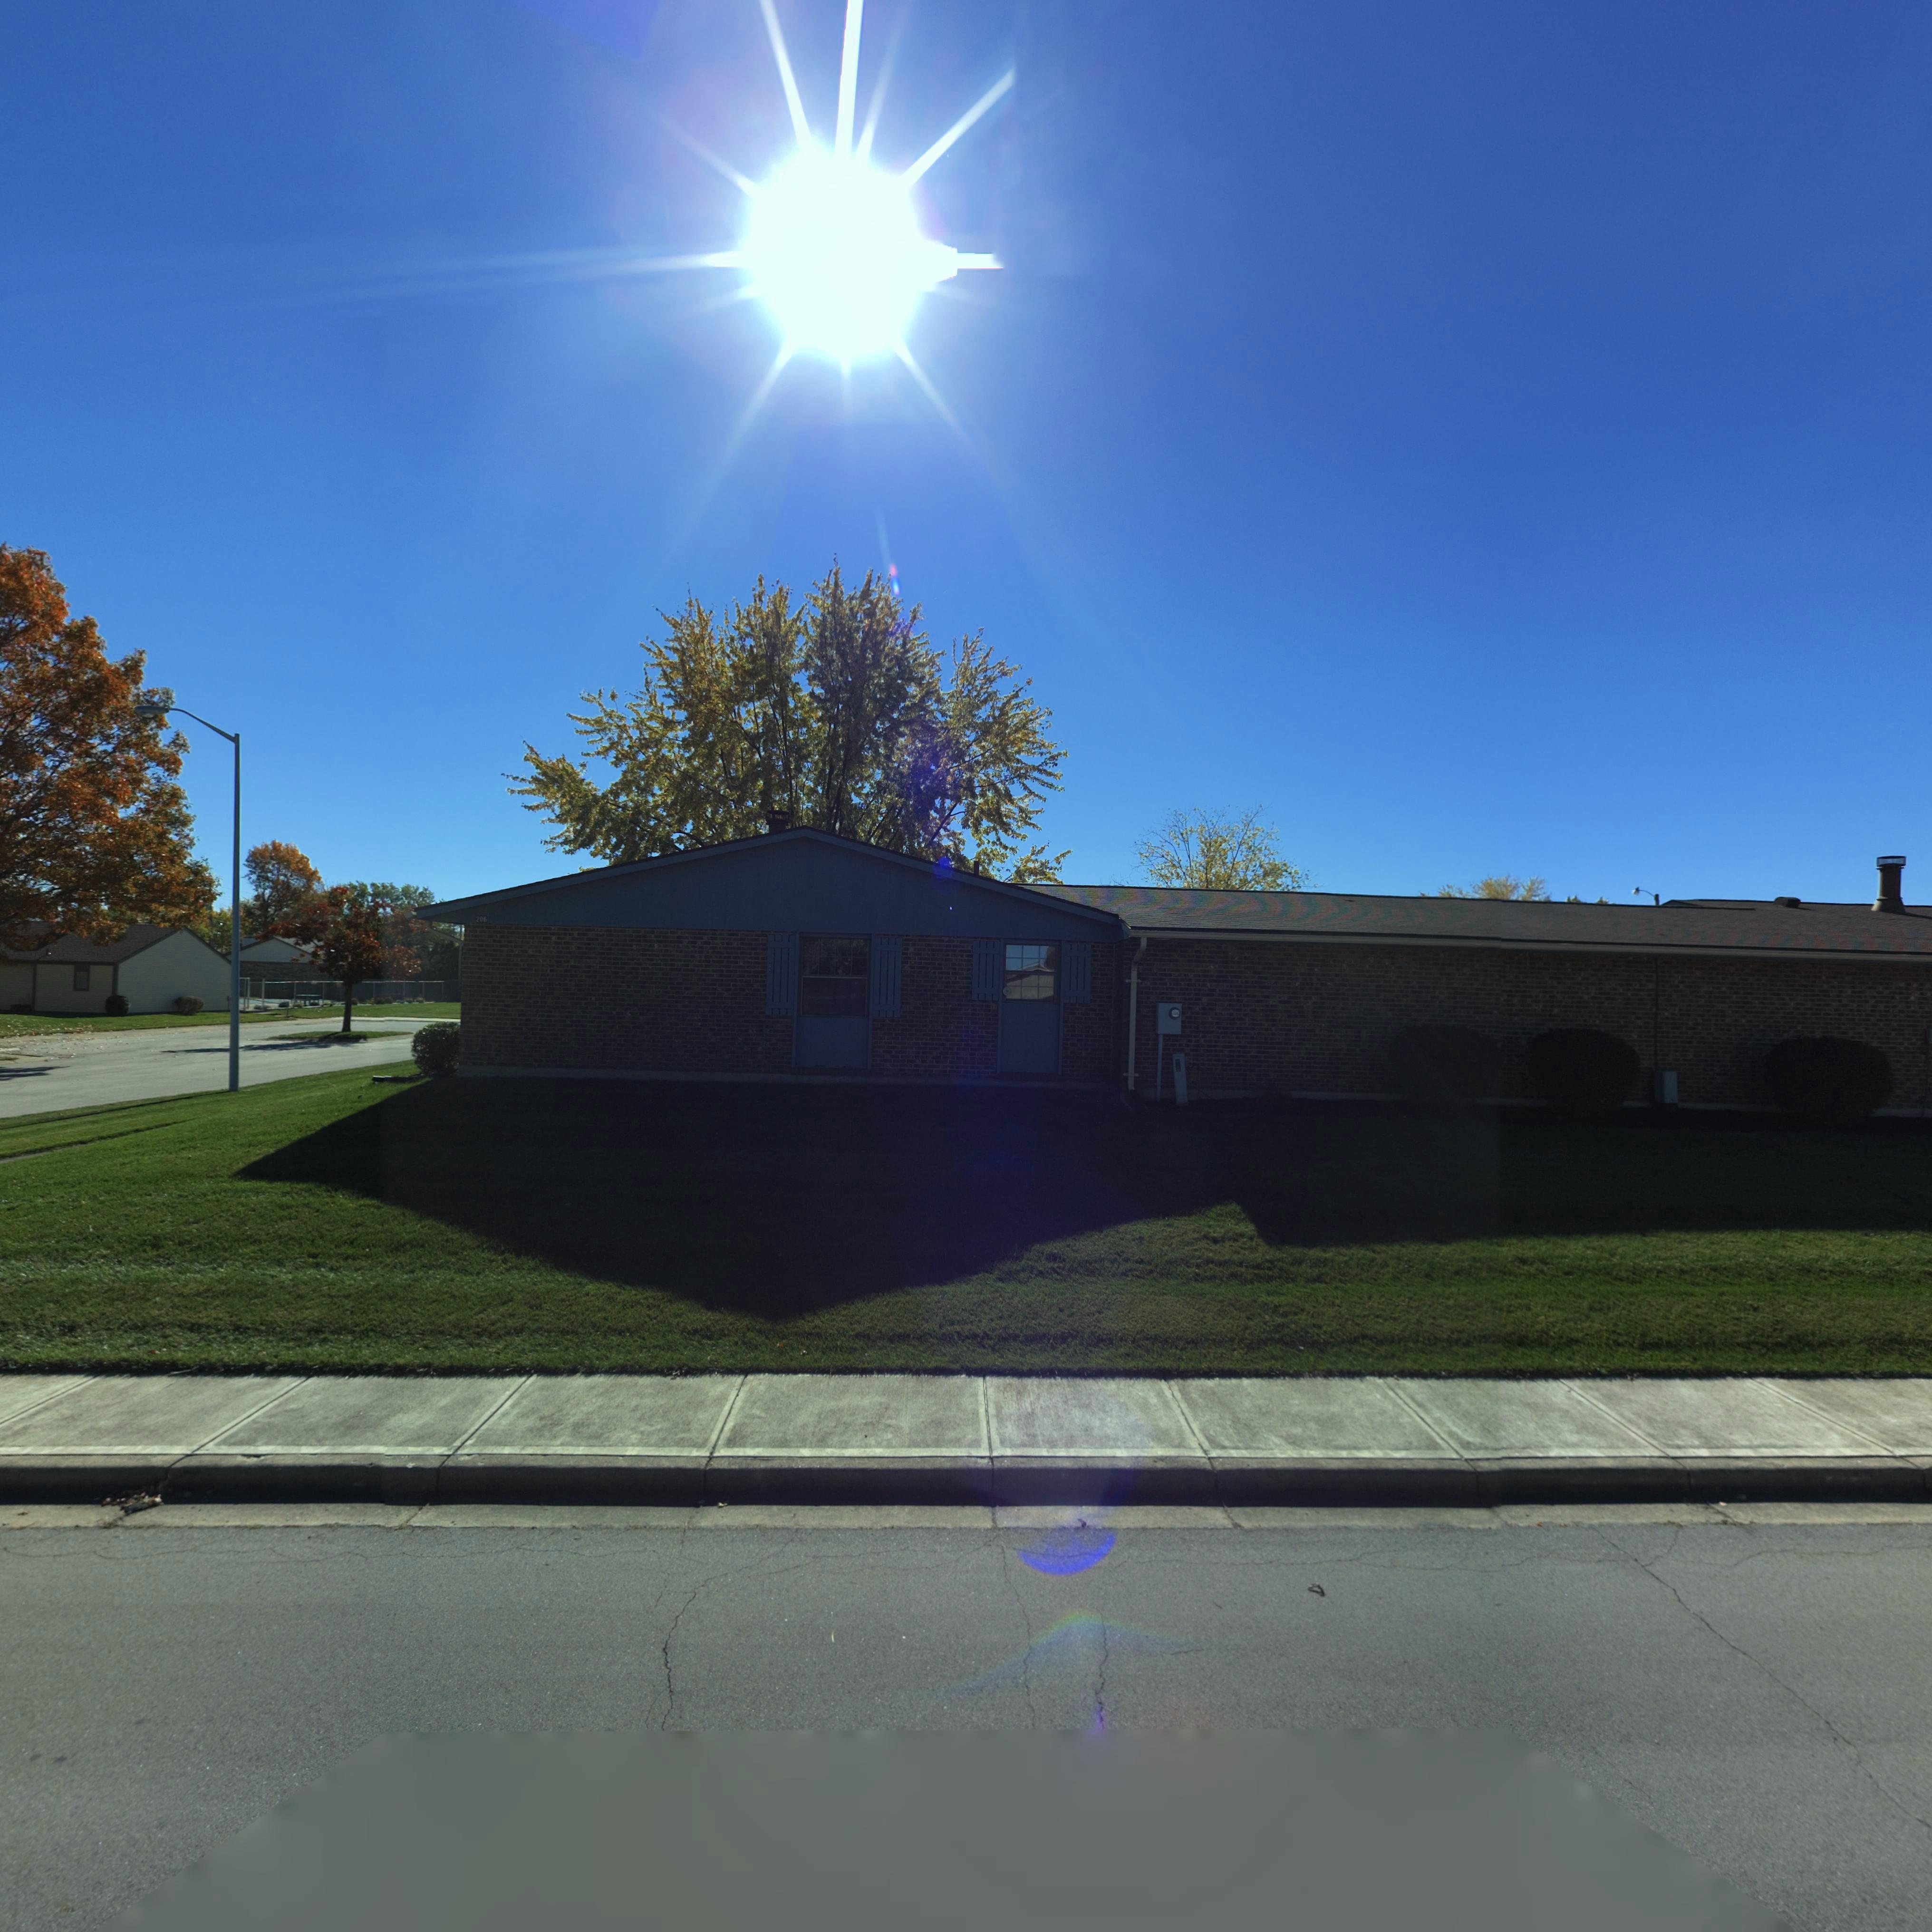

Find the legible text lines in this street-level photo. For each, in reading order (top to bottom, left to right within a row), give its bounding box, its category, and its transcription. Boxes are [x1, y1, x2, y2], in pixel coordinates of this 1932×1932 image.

[475, 916, 488, 923] StreetNumber: 206